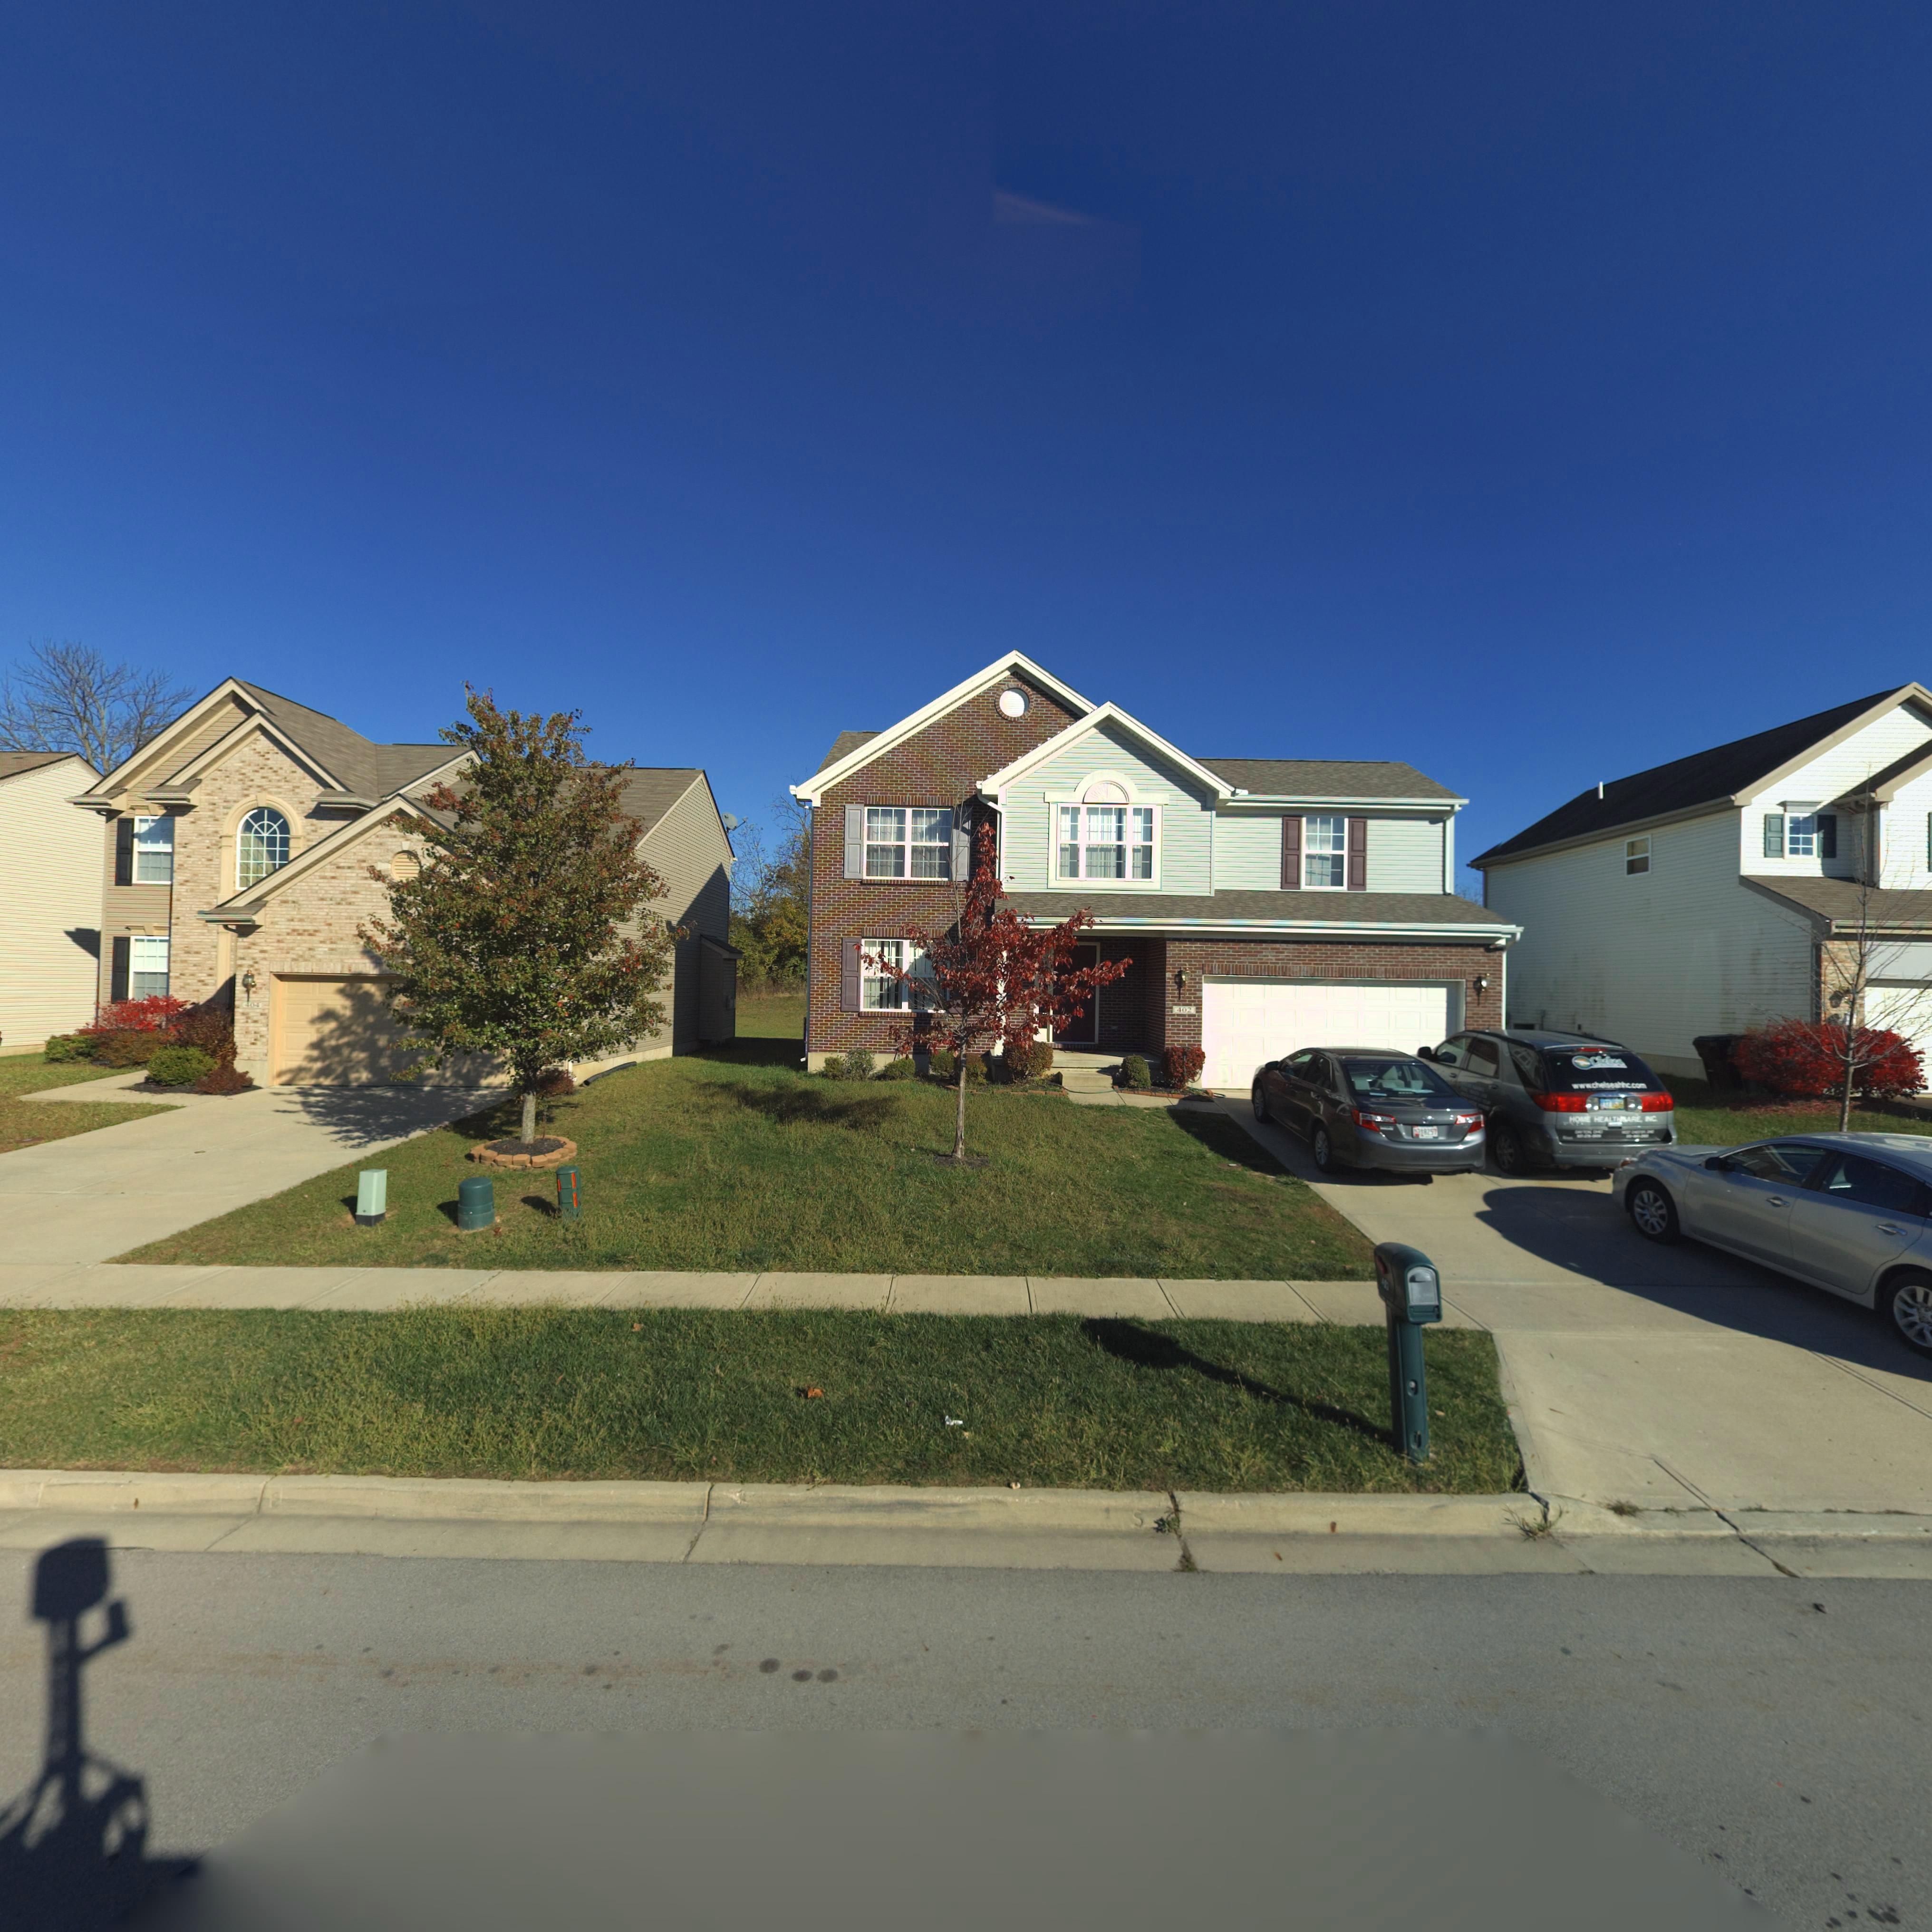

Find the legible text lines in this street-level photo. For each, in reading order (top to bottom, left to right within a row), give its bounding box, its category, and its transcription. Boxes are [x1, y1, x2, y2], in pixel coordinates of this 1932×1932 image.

[244, 1002, 260, 1008] StreetNumber: 404
[1177, 1007, 1192, 1013] StreetNumber: 402
[1381, 1276, 1390, 1291] StreetNumber: *02